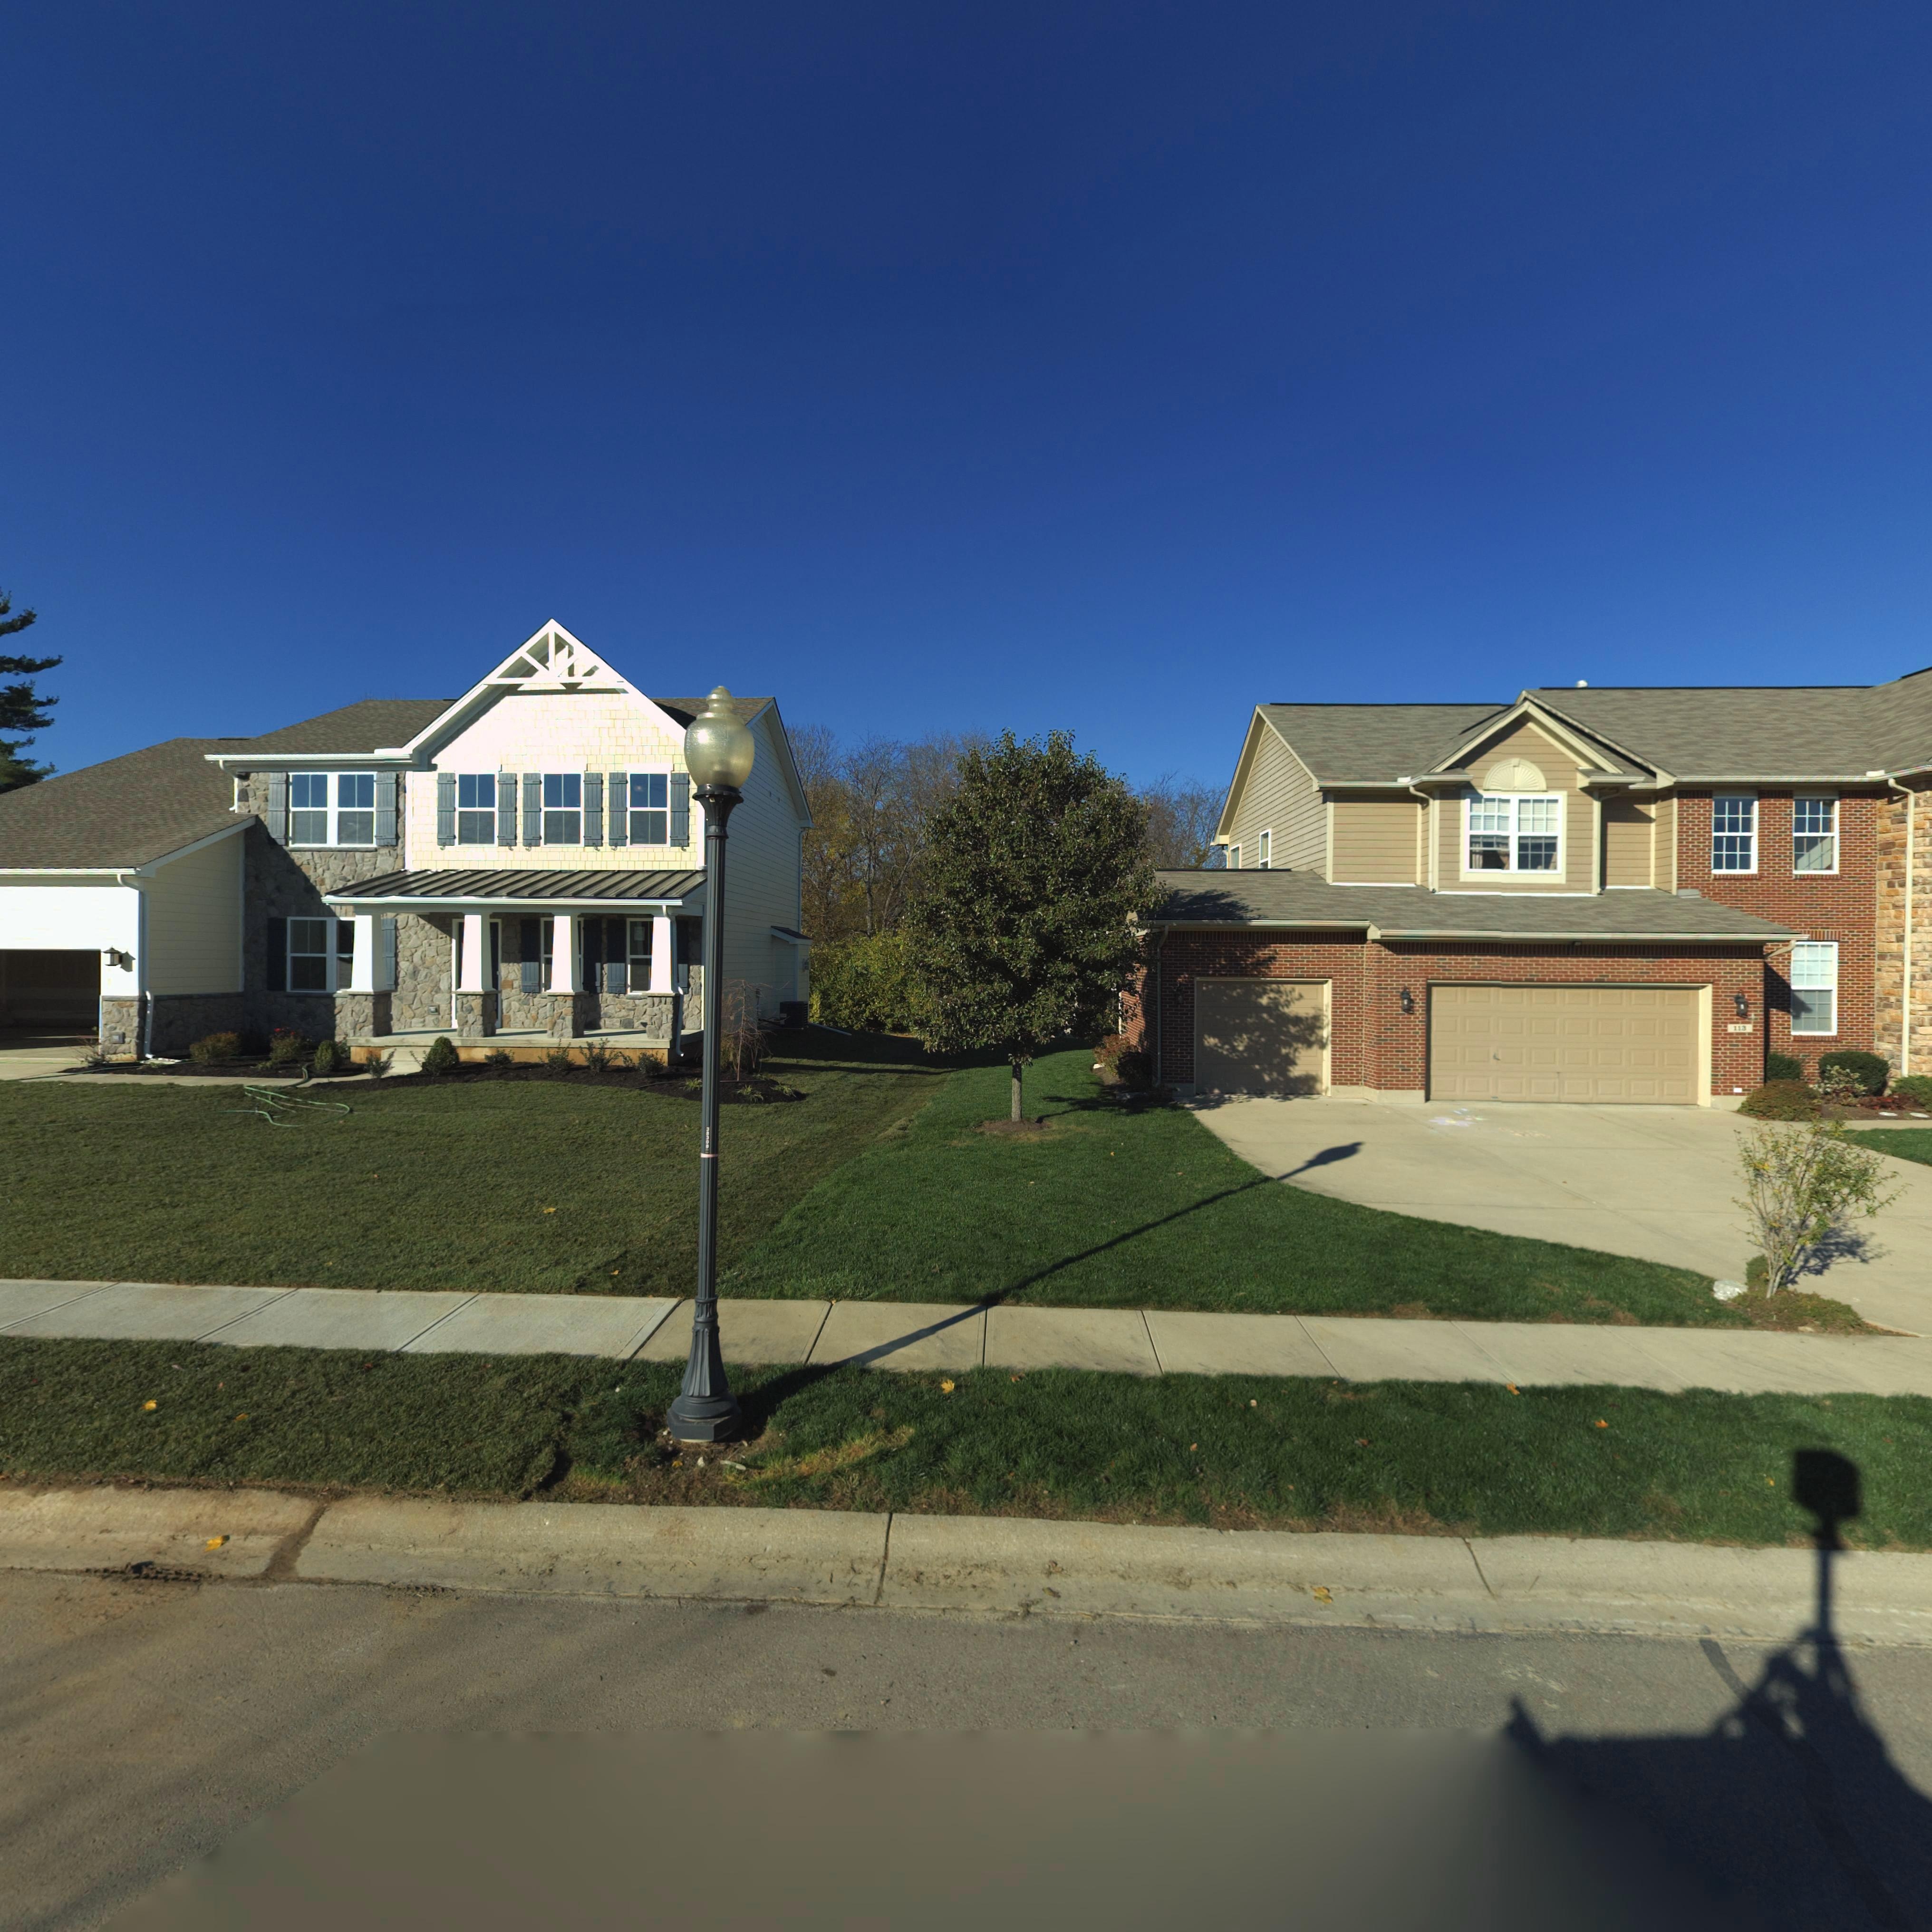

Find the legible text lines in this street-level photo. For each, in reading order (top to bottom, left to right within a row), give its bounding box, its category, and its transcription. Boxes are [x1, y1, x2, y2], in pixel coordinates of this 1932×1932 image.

[1732, 1024, 1748, 1032] StreetNumber: 113